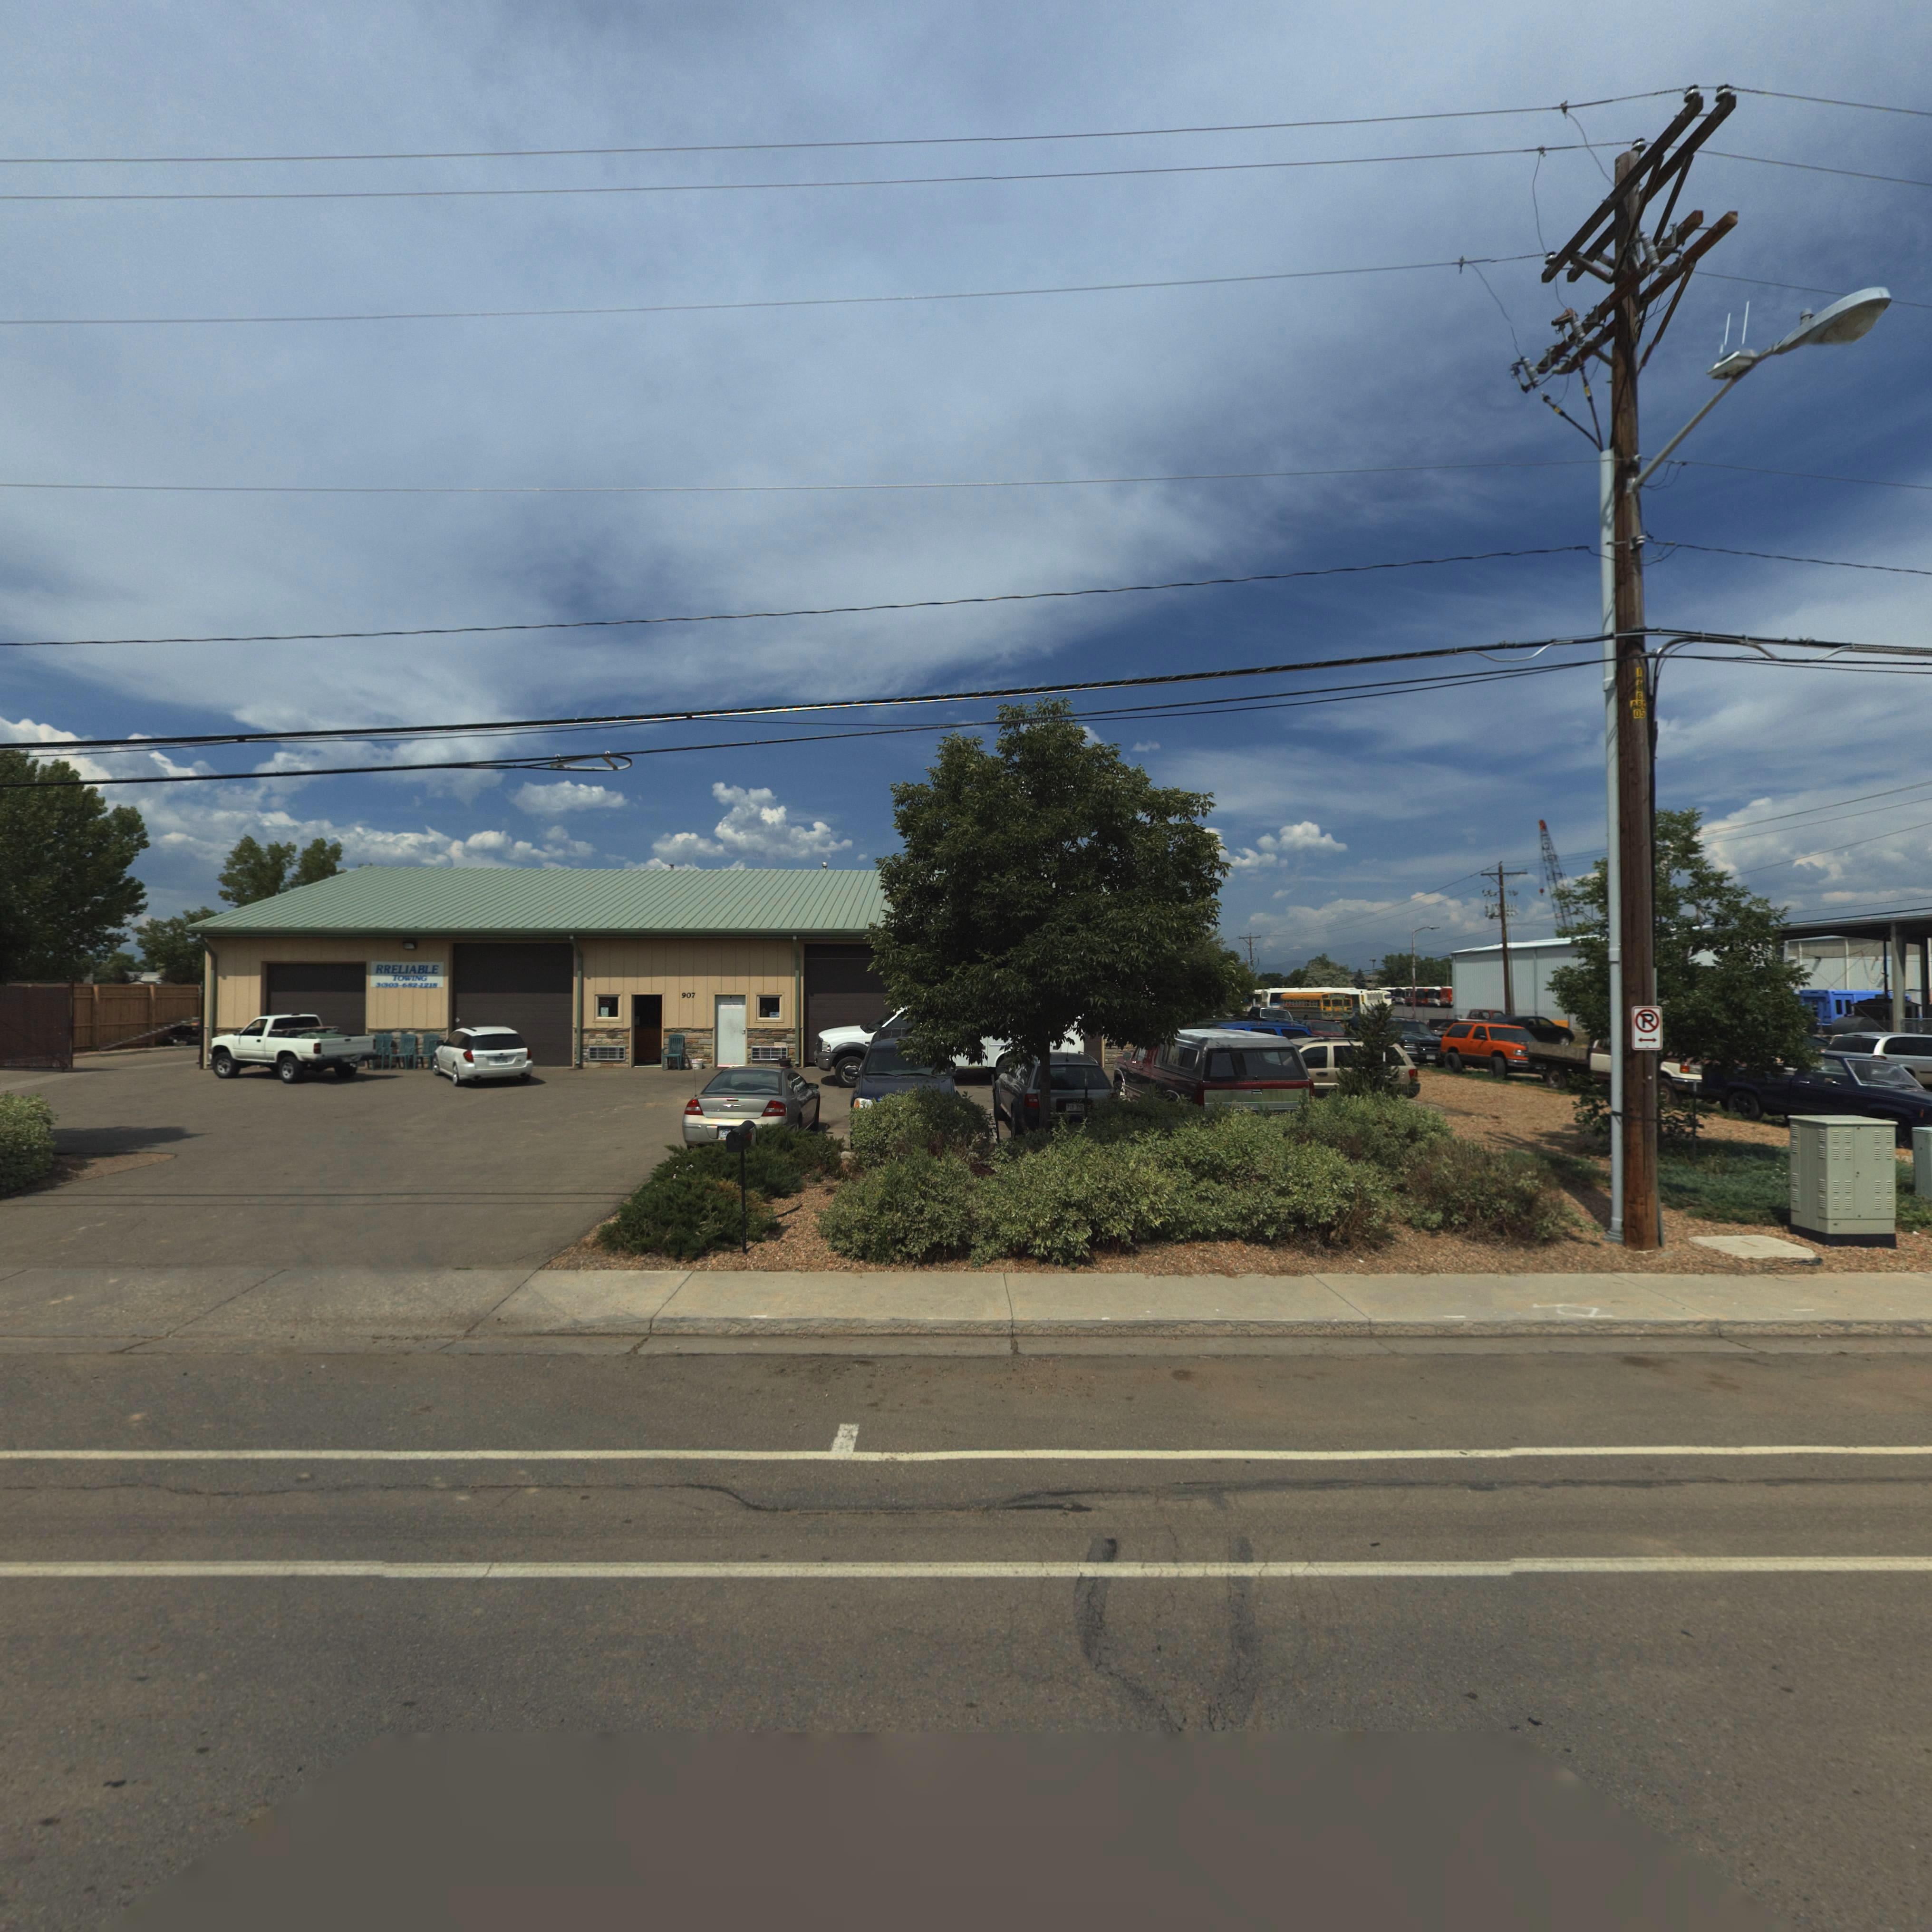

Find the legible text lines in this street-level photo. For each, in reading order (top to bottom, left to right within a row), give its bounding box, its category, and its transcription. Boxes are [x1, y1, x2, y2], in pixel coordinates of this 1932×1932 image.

[375, 964, 439, 974] BusinessName: RRELIABLE
[391, 974, 427, 981] BusinessName: TOWING
[681, 992, 696, 998] StreetNumber: 907
[751, 1126, 756, 1135] StreetNumber: 07